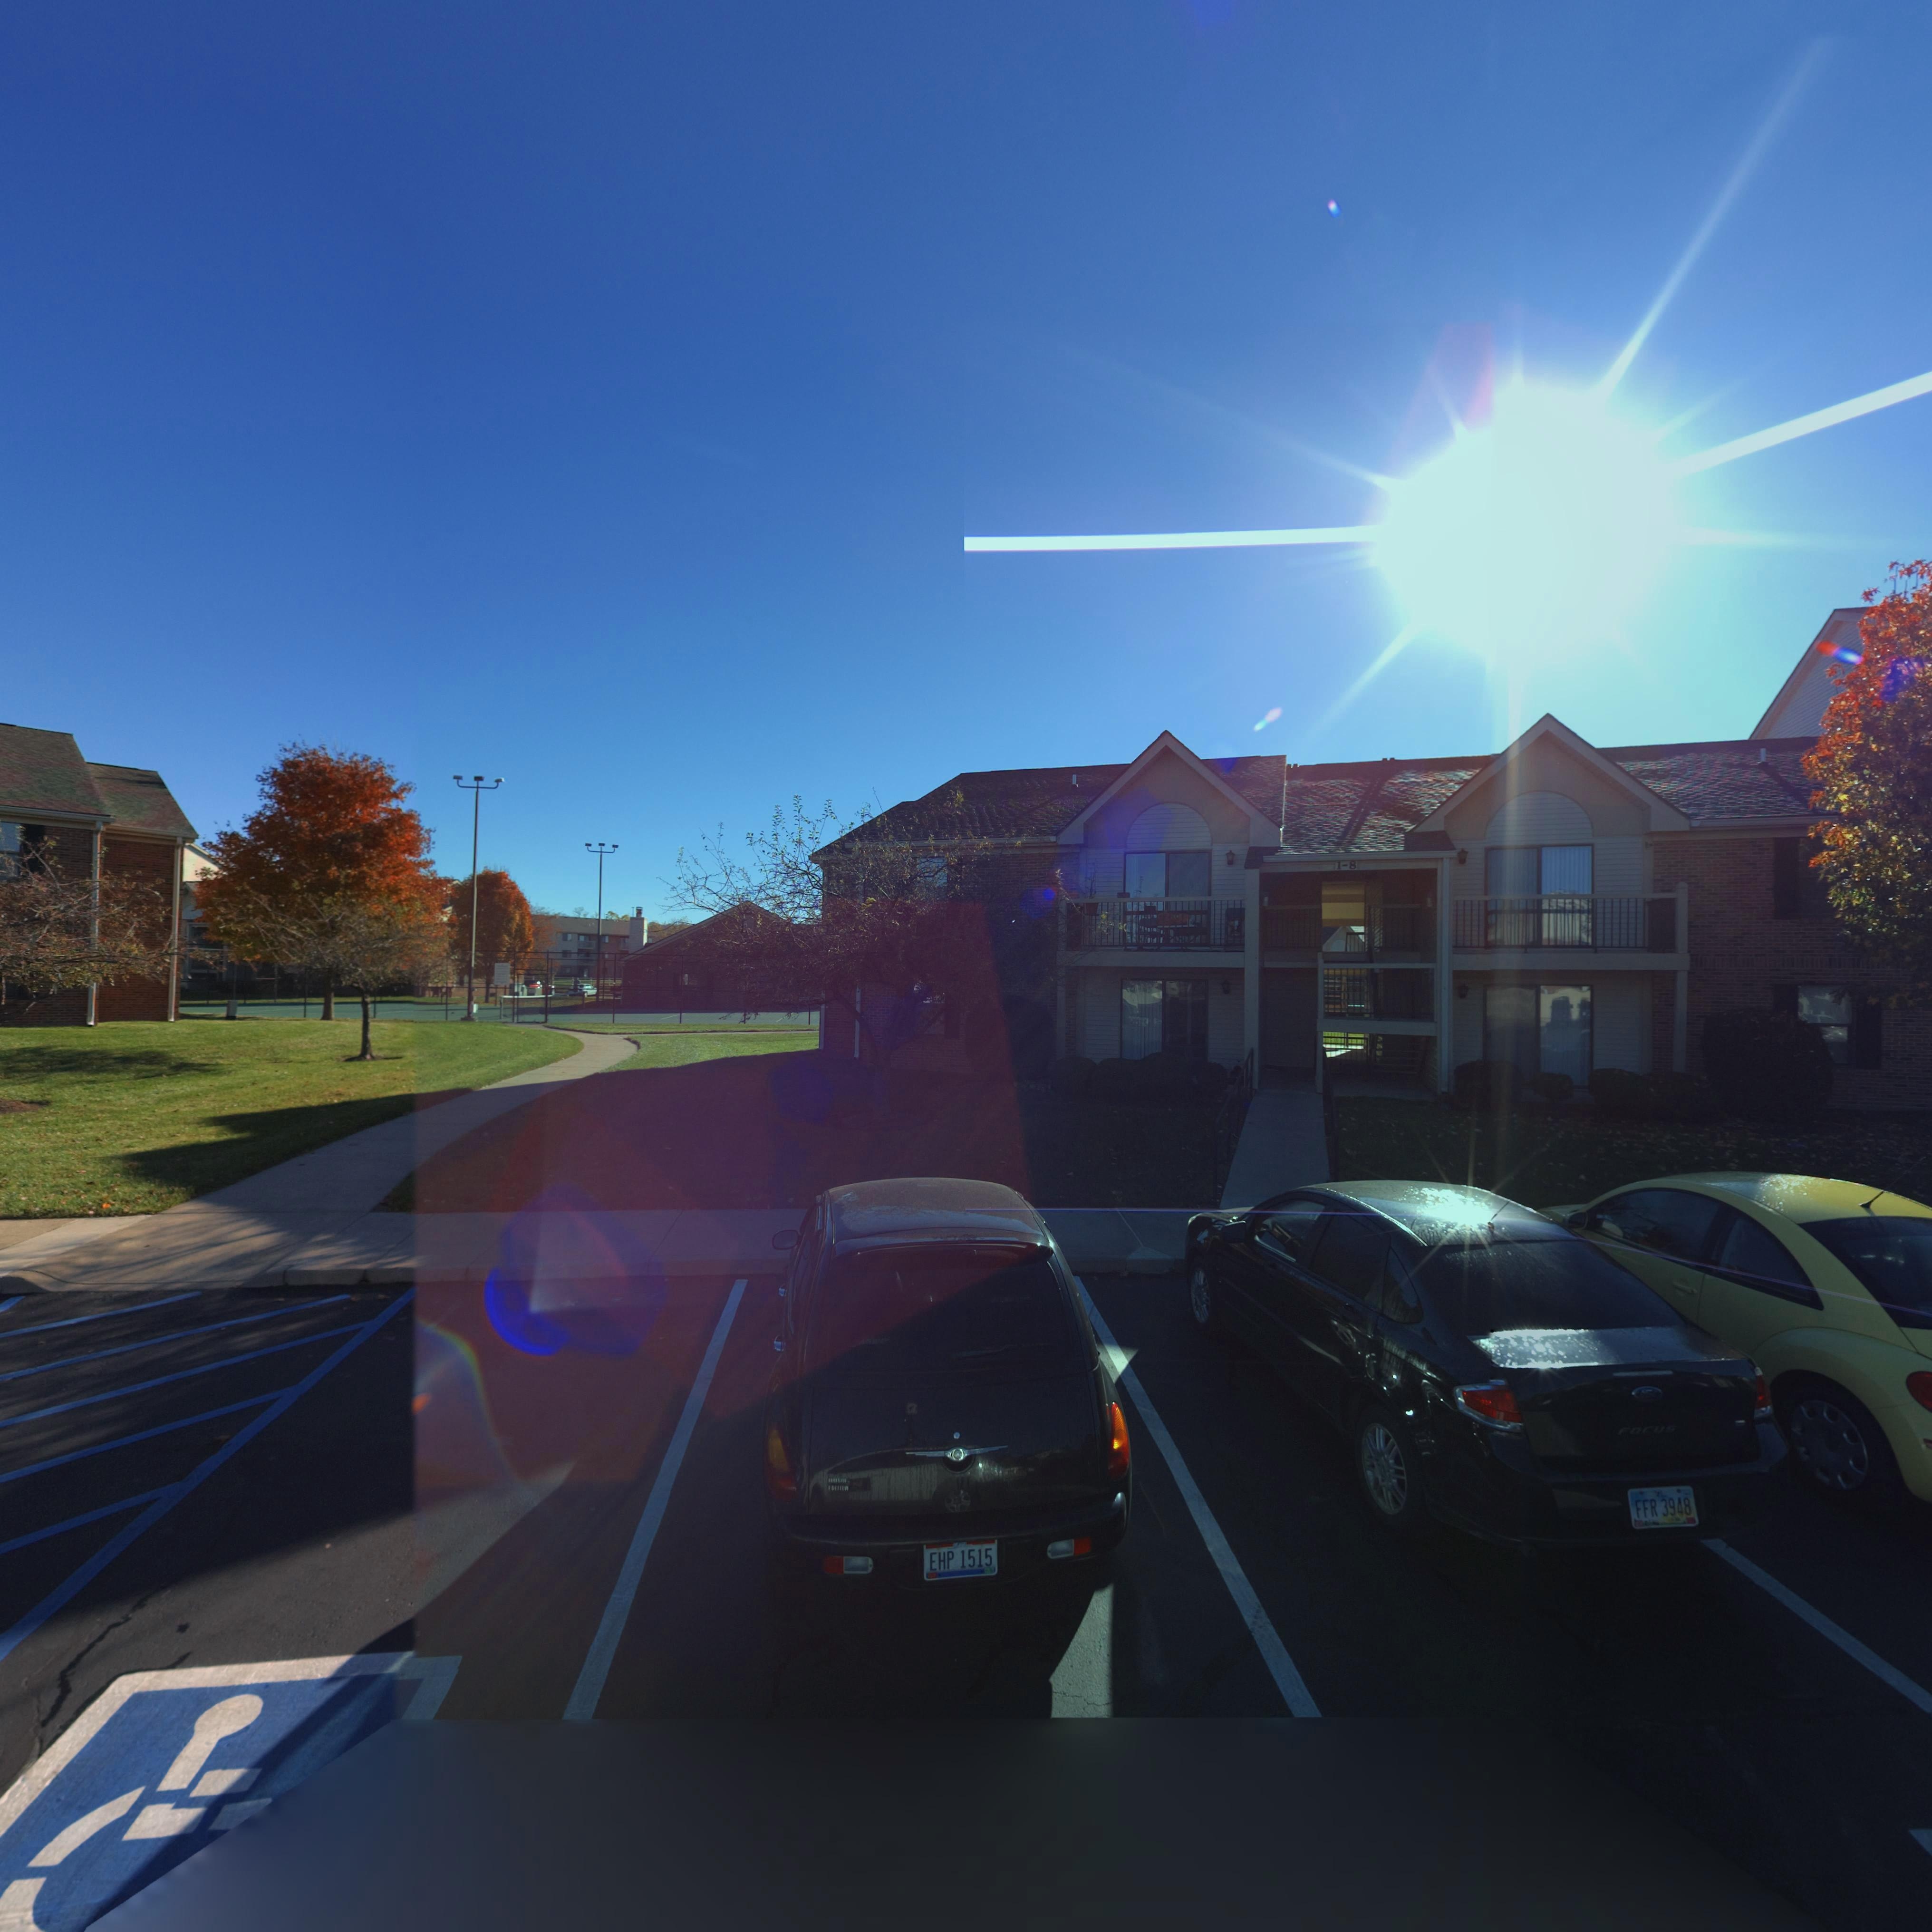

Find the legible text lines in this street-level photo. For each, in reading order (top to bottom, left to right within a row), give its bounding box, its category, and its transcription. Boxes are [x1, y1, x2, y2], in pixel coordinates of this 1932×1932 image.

[1336, 860, 1357, 869] StreetNumber: 1-8